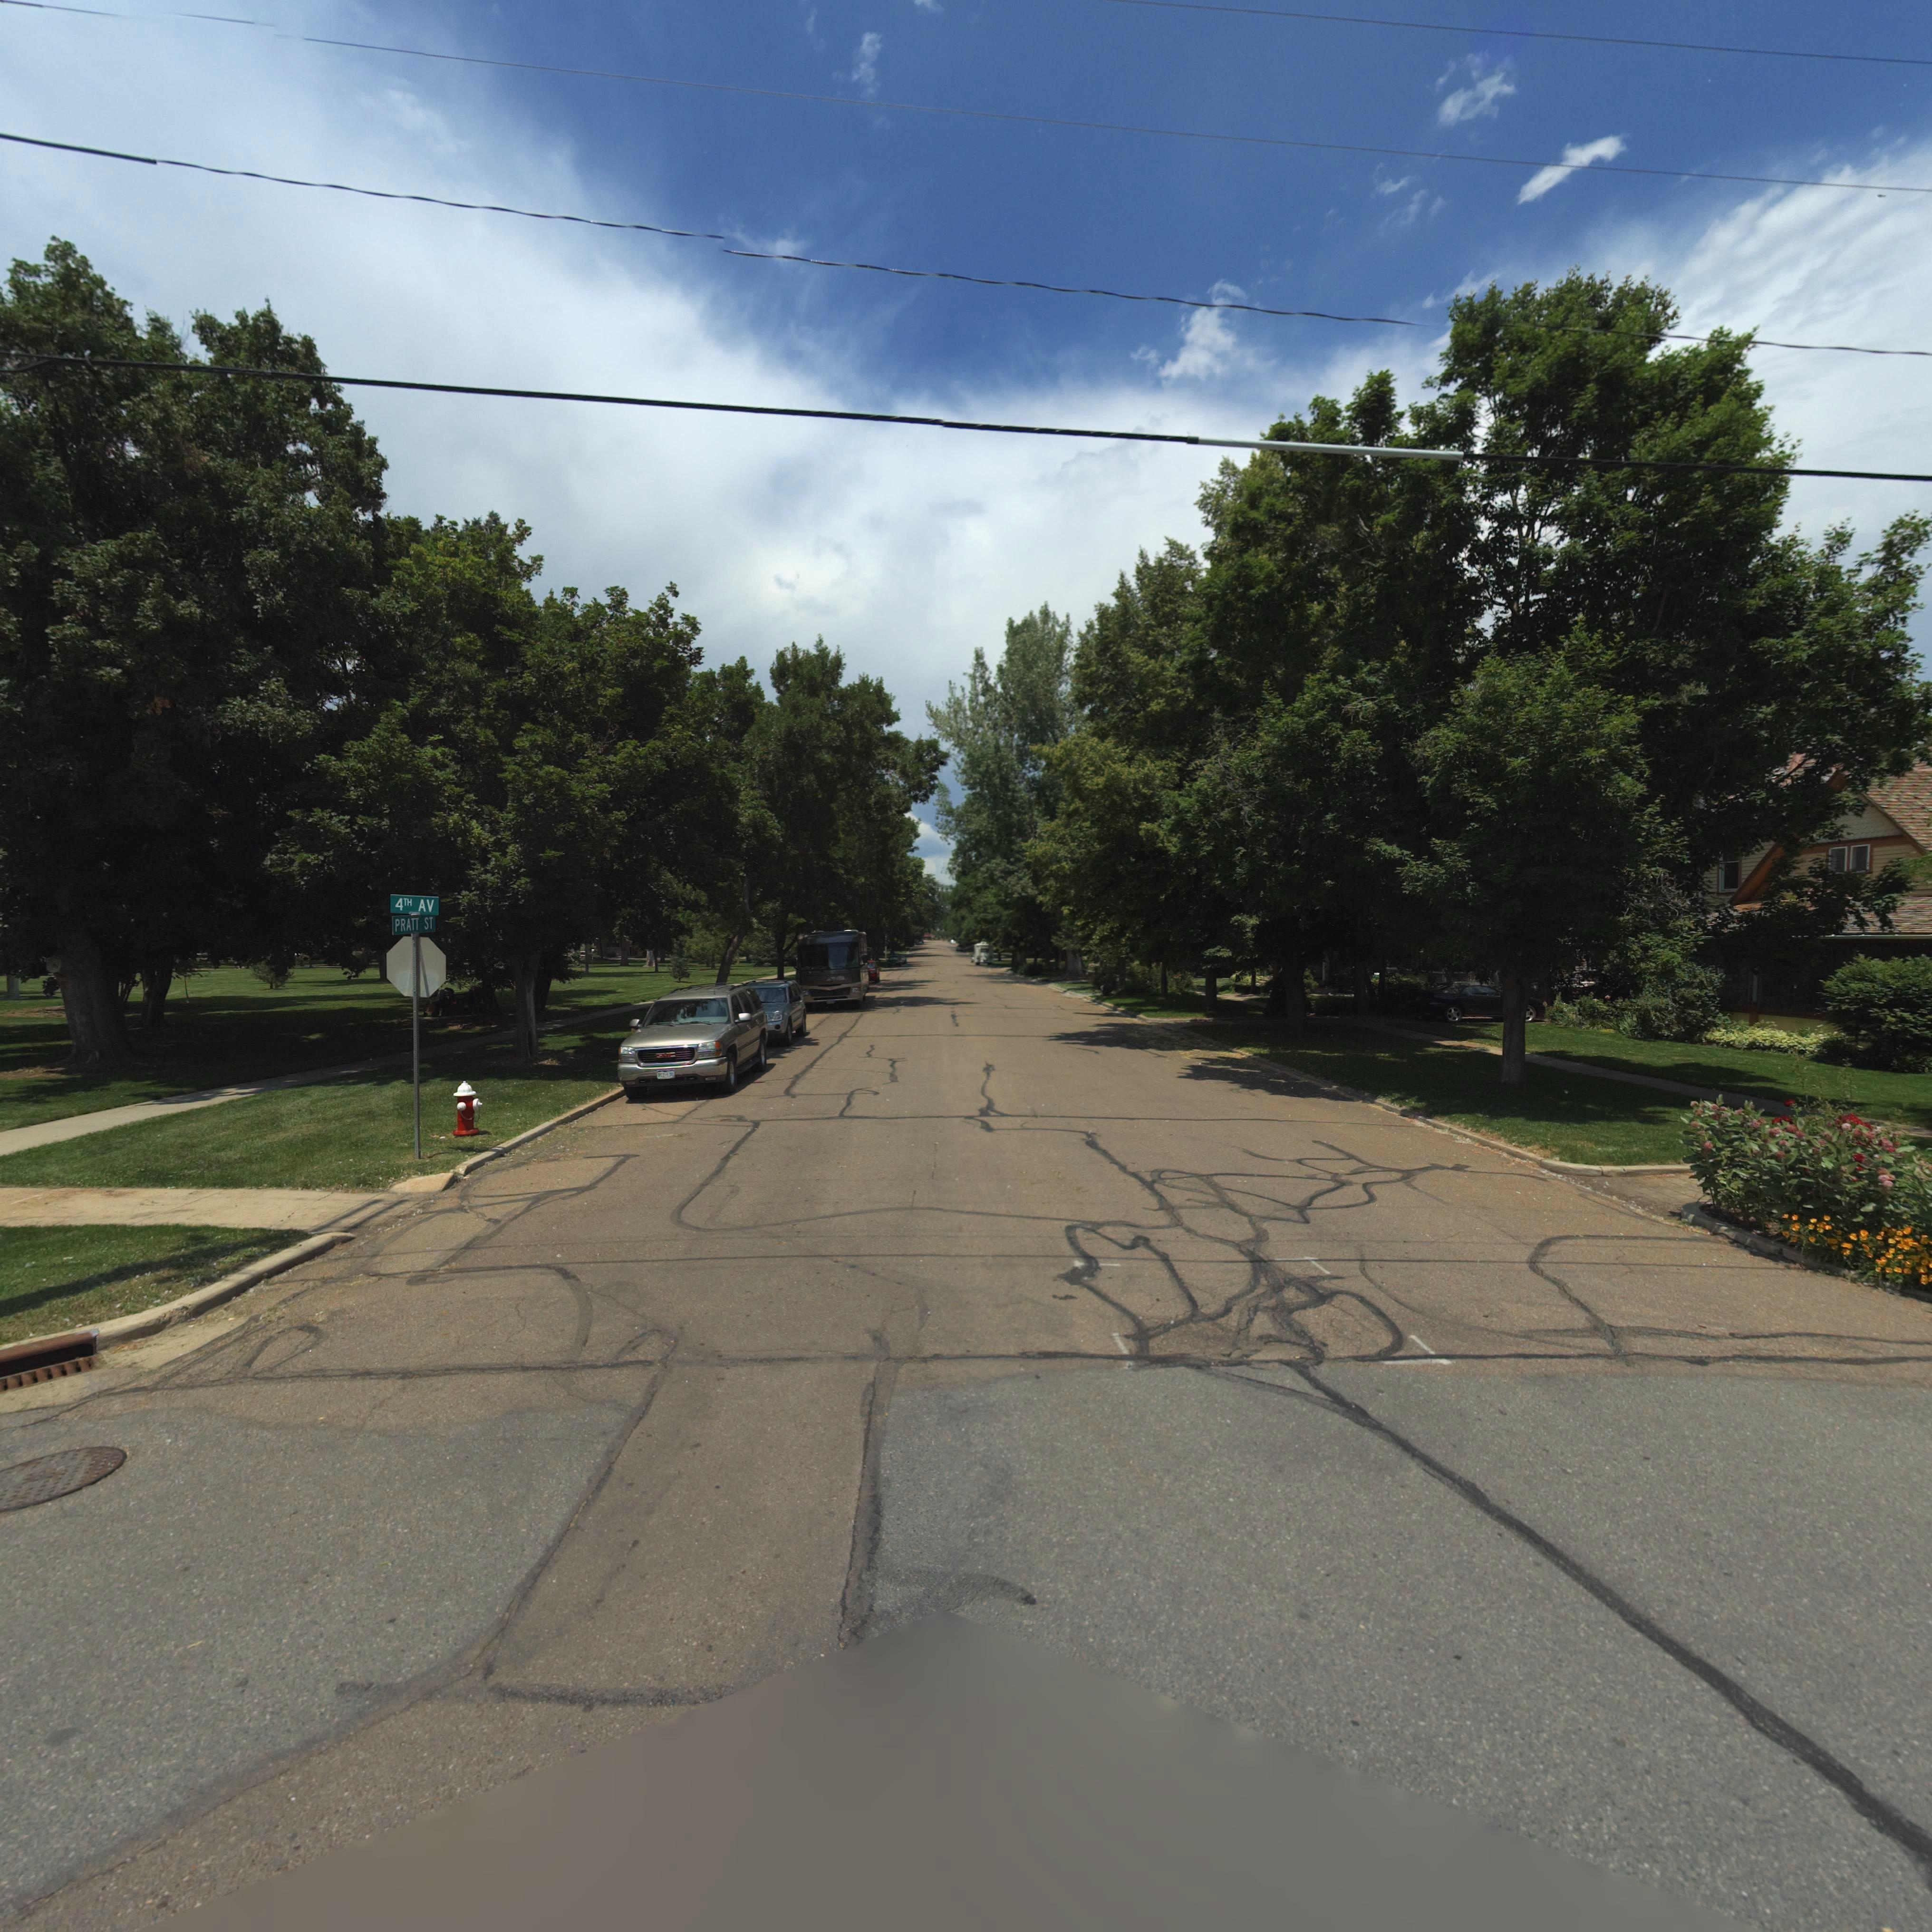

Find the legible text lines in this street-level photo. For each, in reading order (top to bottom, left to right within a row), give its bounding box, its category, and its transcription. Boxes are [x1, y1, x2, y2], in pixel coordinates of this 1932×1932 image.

[395, 898, 435, 912] StreetName: 4TH AV
[395, 917, 433, 932] StreetName: PRATT ST